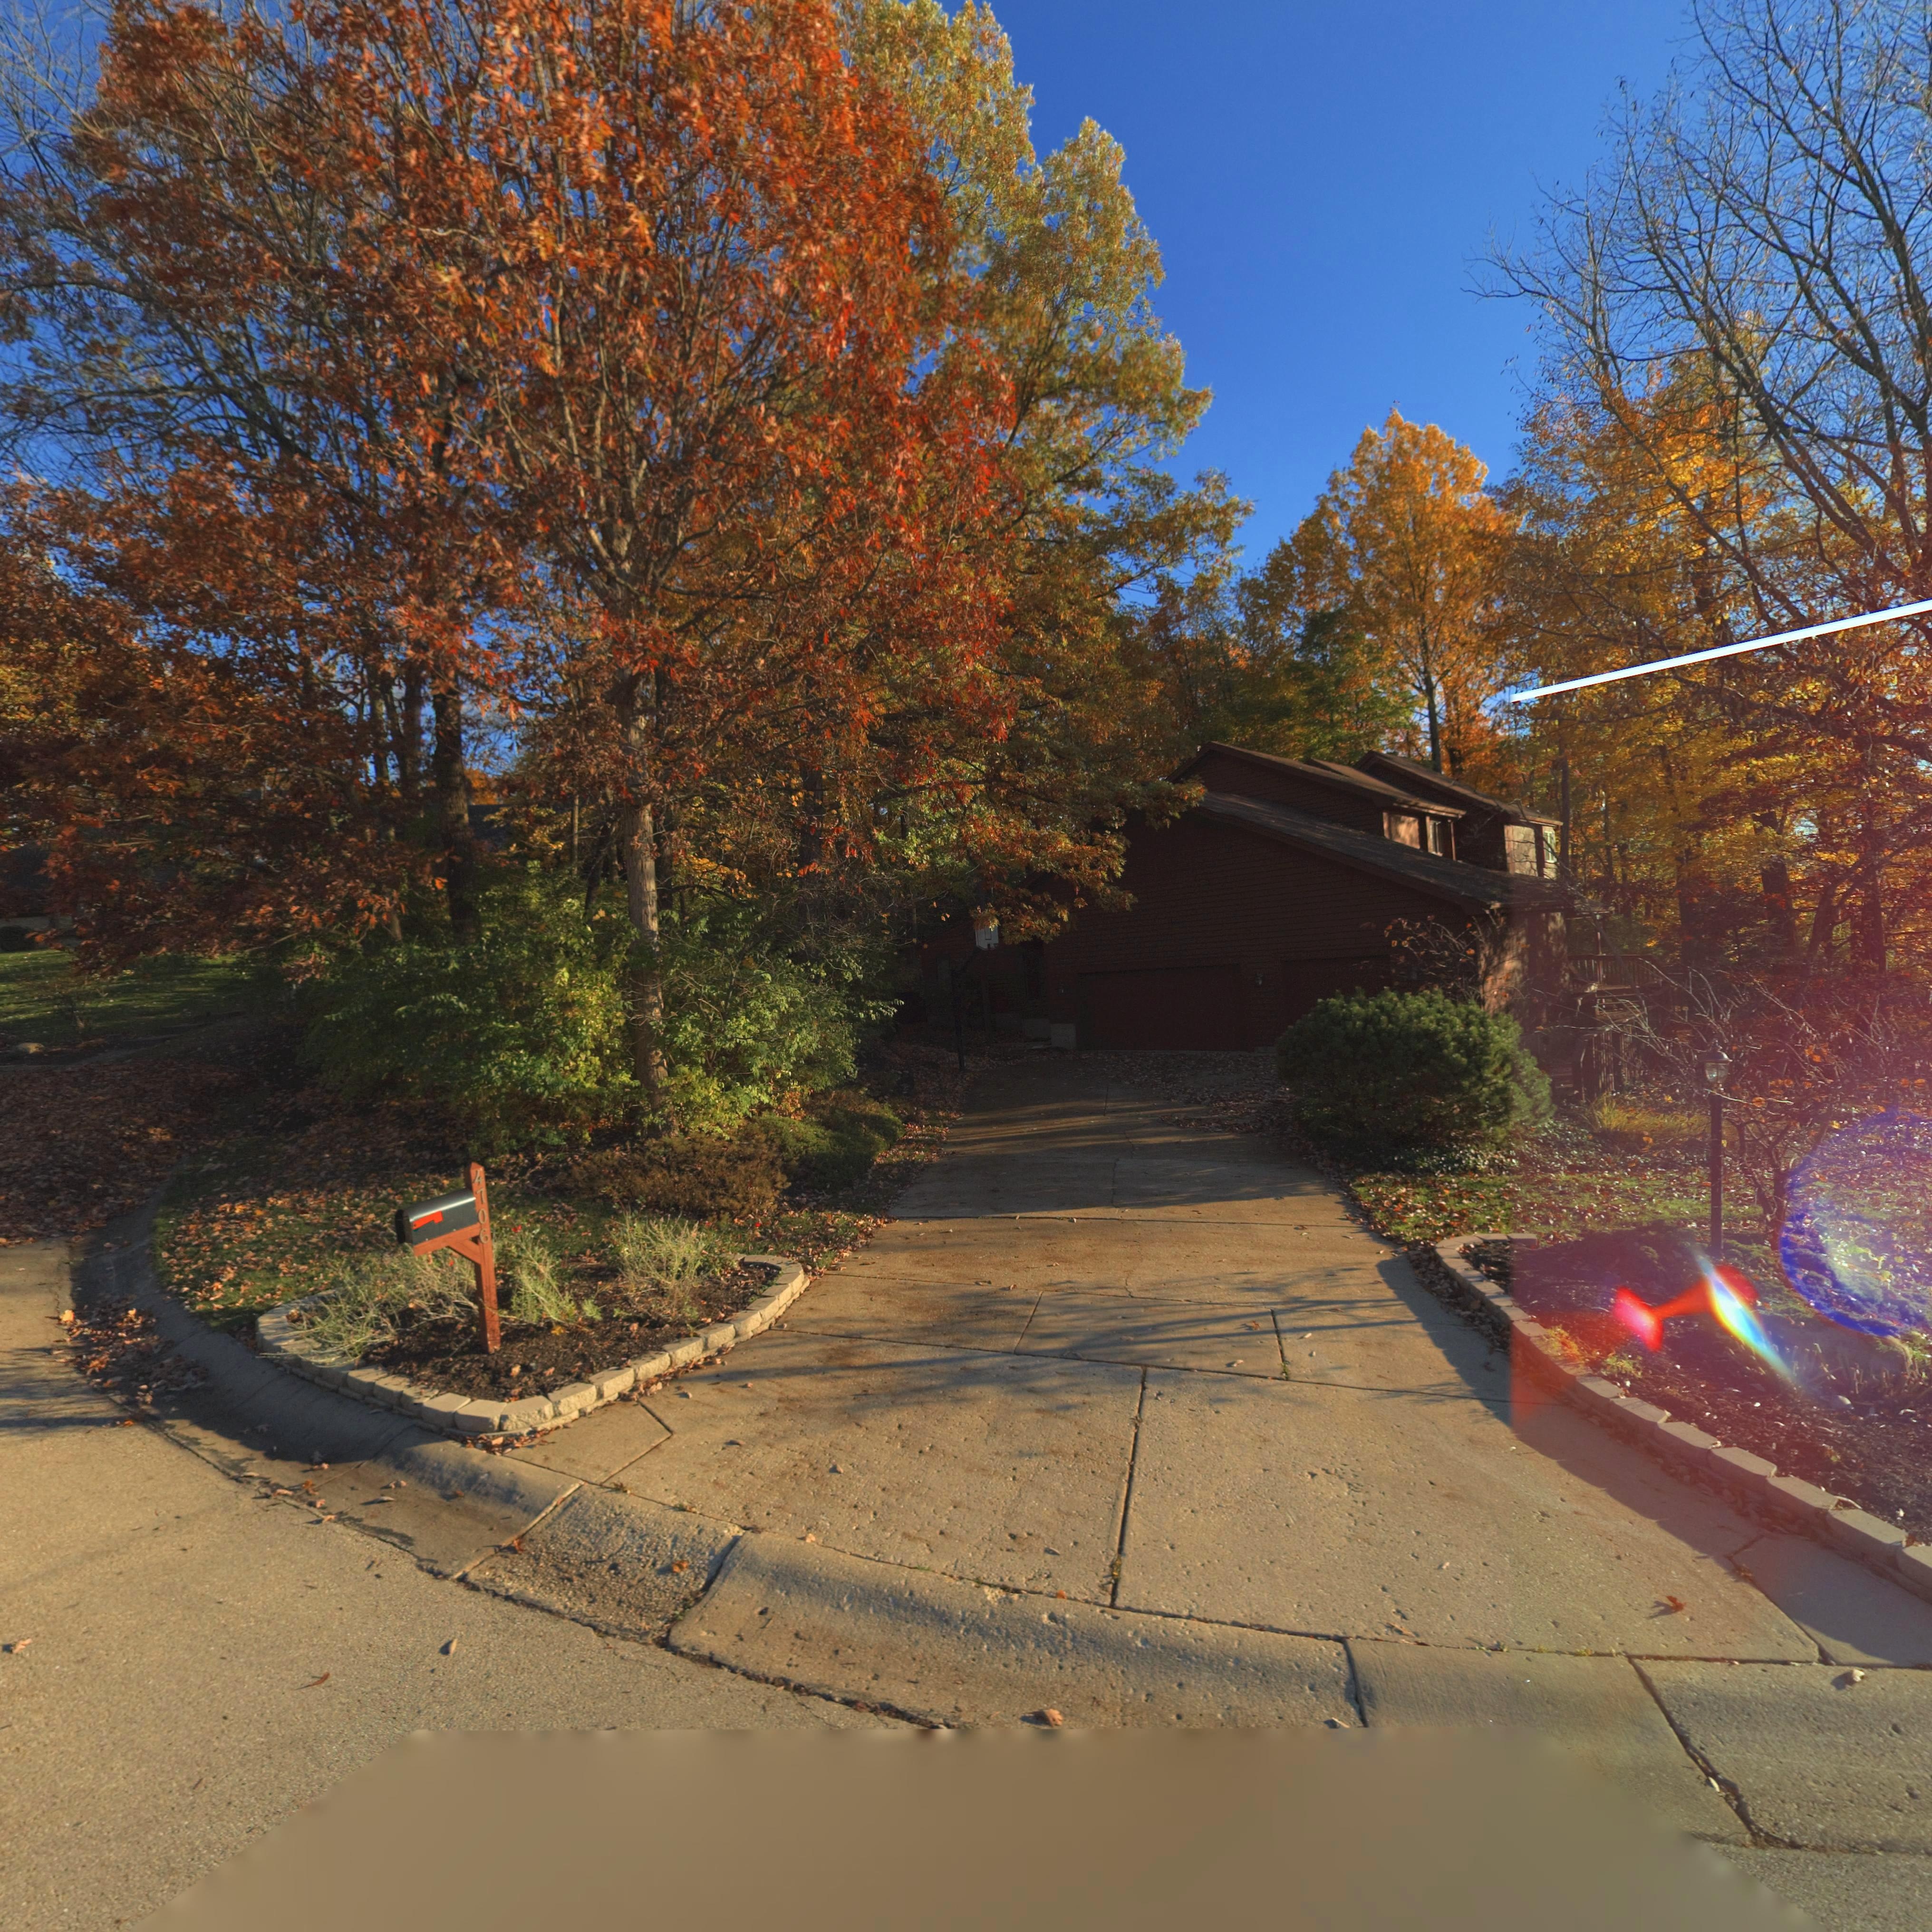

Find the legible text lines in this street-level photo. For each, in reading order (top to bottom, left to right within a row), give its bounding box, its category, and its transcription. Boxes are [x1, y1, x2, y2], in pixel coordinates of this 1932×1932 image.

[471, 1168, 490, 1245] StreetNumber: 4706